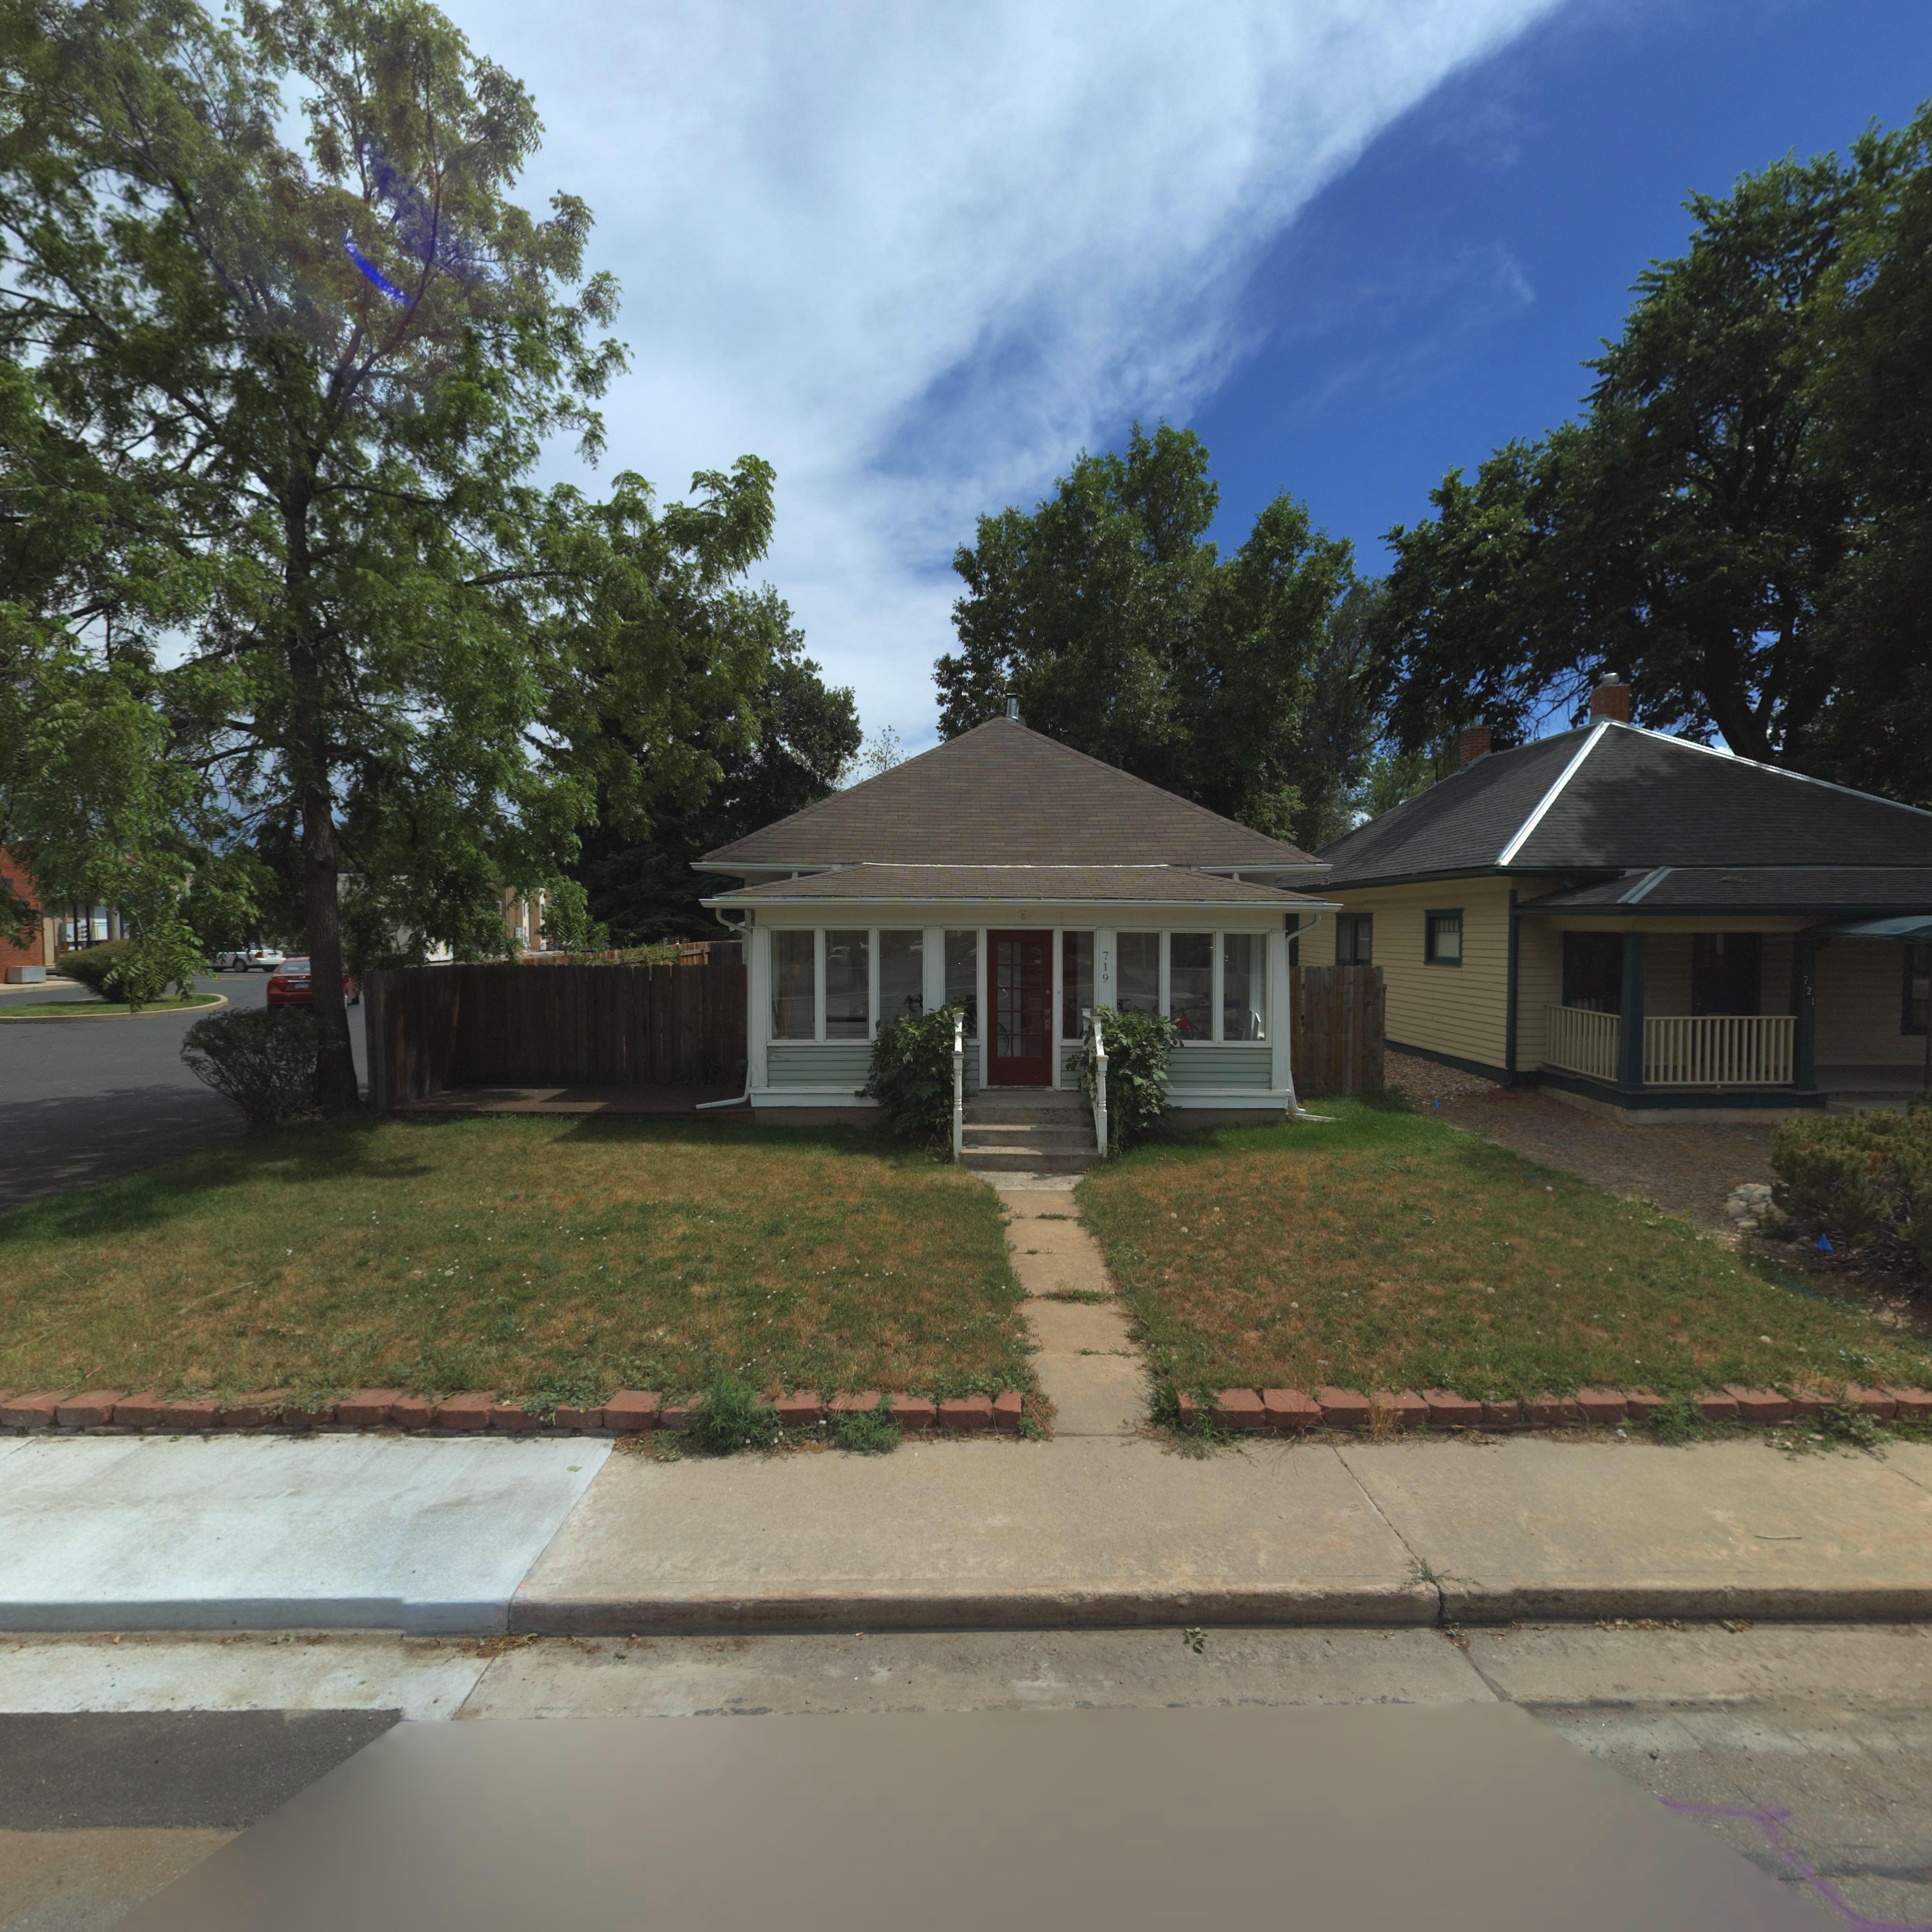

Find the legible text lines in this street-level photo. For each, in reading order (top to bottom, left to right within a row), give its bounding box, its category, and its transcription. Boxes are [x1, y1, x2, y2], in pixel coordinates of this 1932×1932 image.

[1102, 951, 1108, 982] StreetNumber: 719
[1803, 976, 1814, 1005] StreetNumber: 721